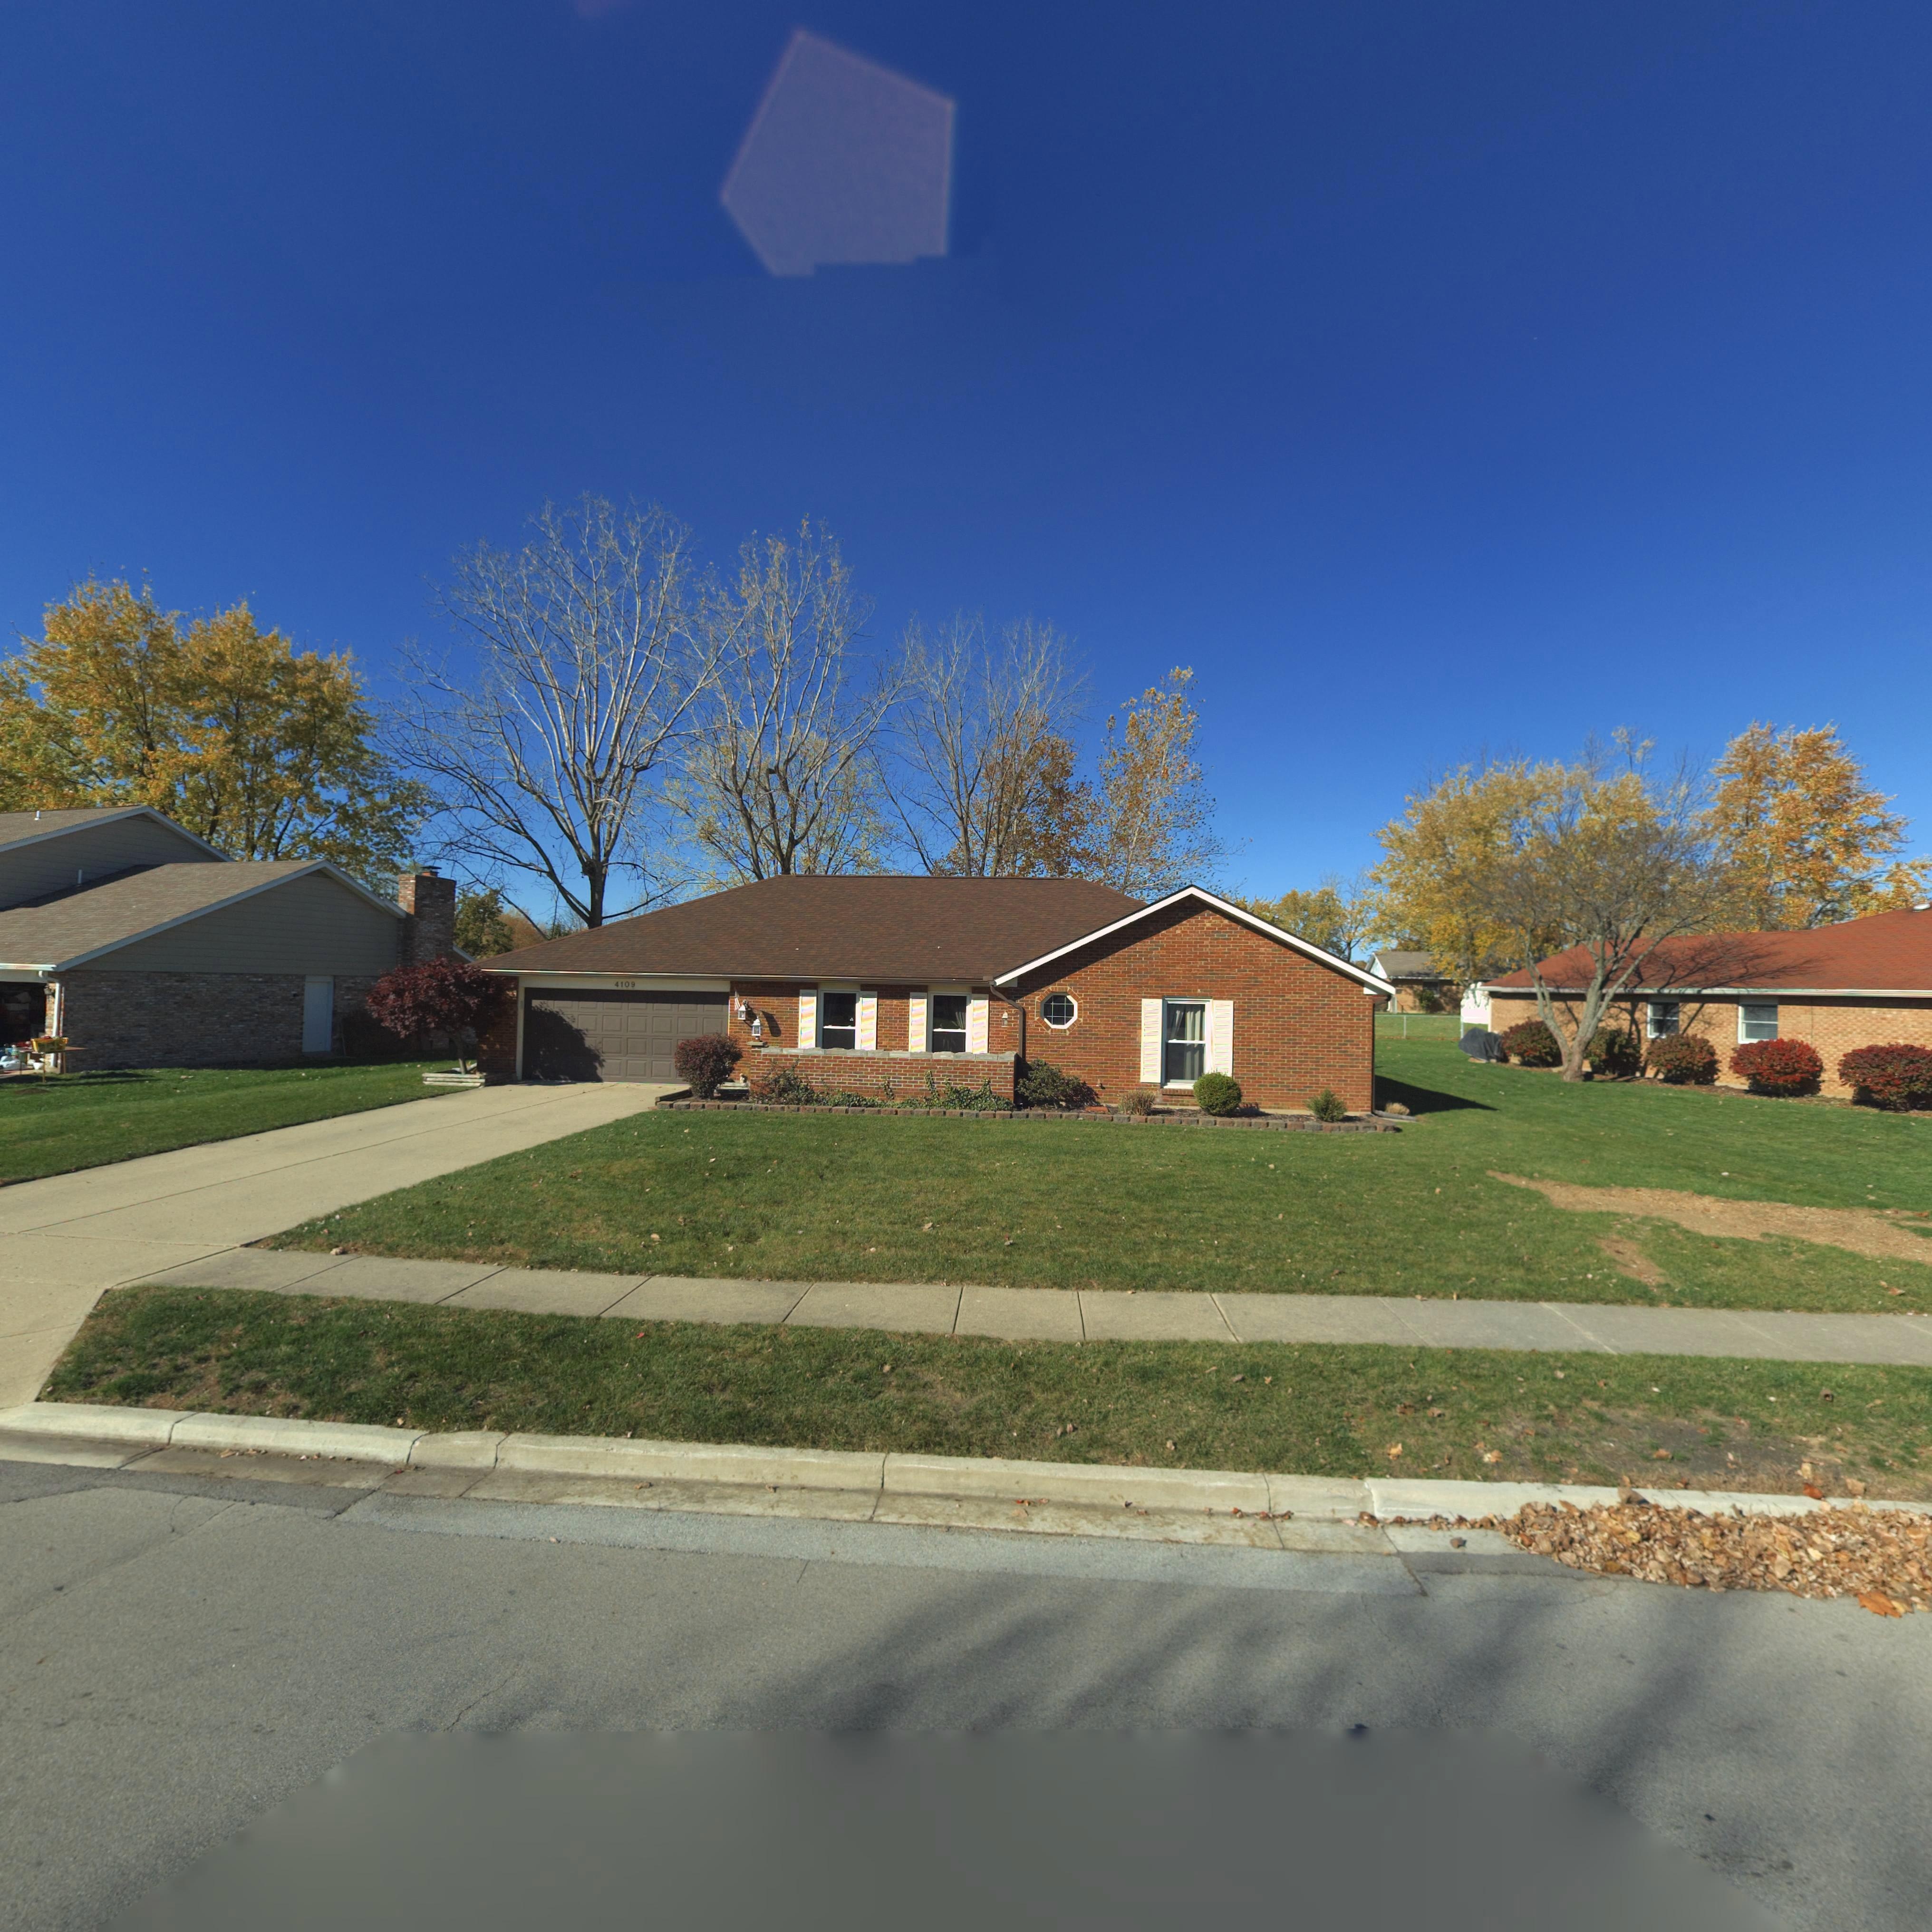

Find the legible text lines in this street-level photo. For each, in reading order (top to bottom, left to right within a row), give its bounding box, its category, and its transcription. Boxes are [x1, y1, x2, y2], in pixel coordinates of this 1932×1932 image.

[613, 981, 635, 988] StreetNumber: 4109